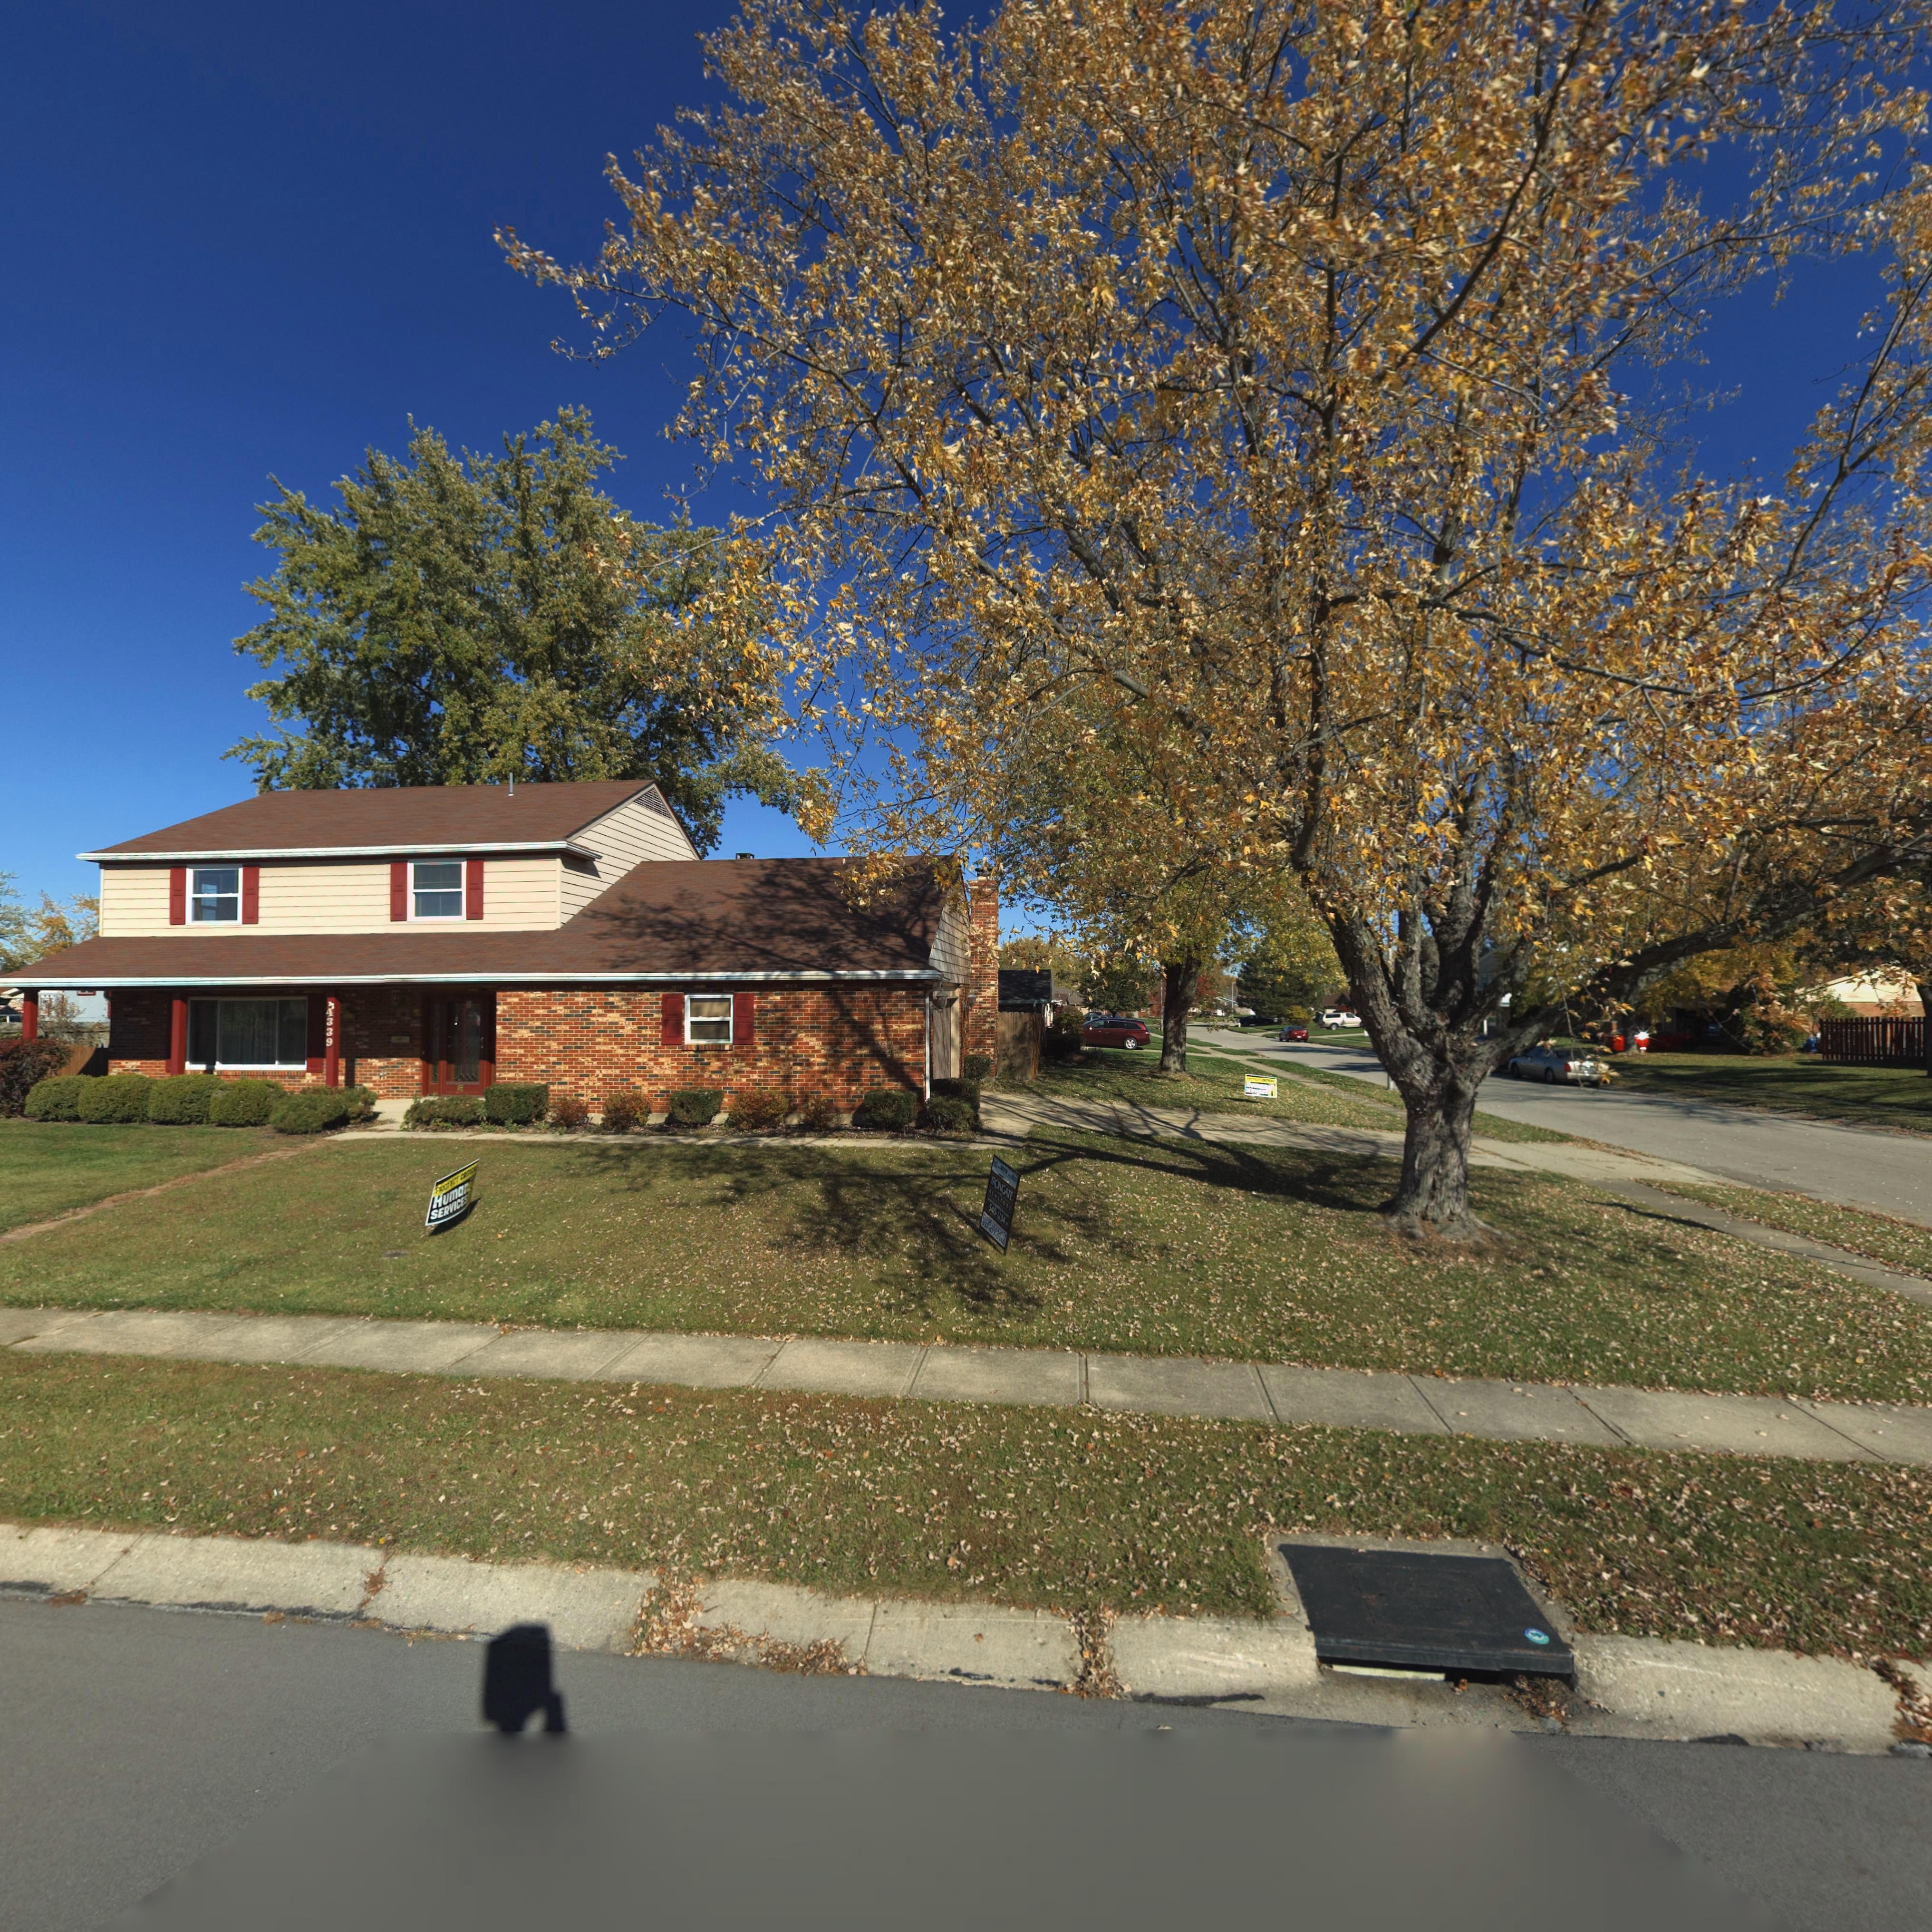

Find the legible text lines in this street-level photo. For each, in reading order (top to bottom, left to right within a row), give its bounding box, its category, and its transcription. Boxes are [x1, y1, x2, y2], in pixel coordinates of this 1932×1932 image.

[325, 1007, 334, 1048] StreetNumber: 4339